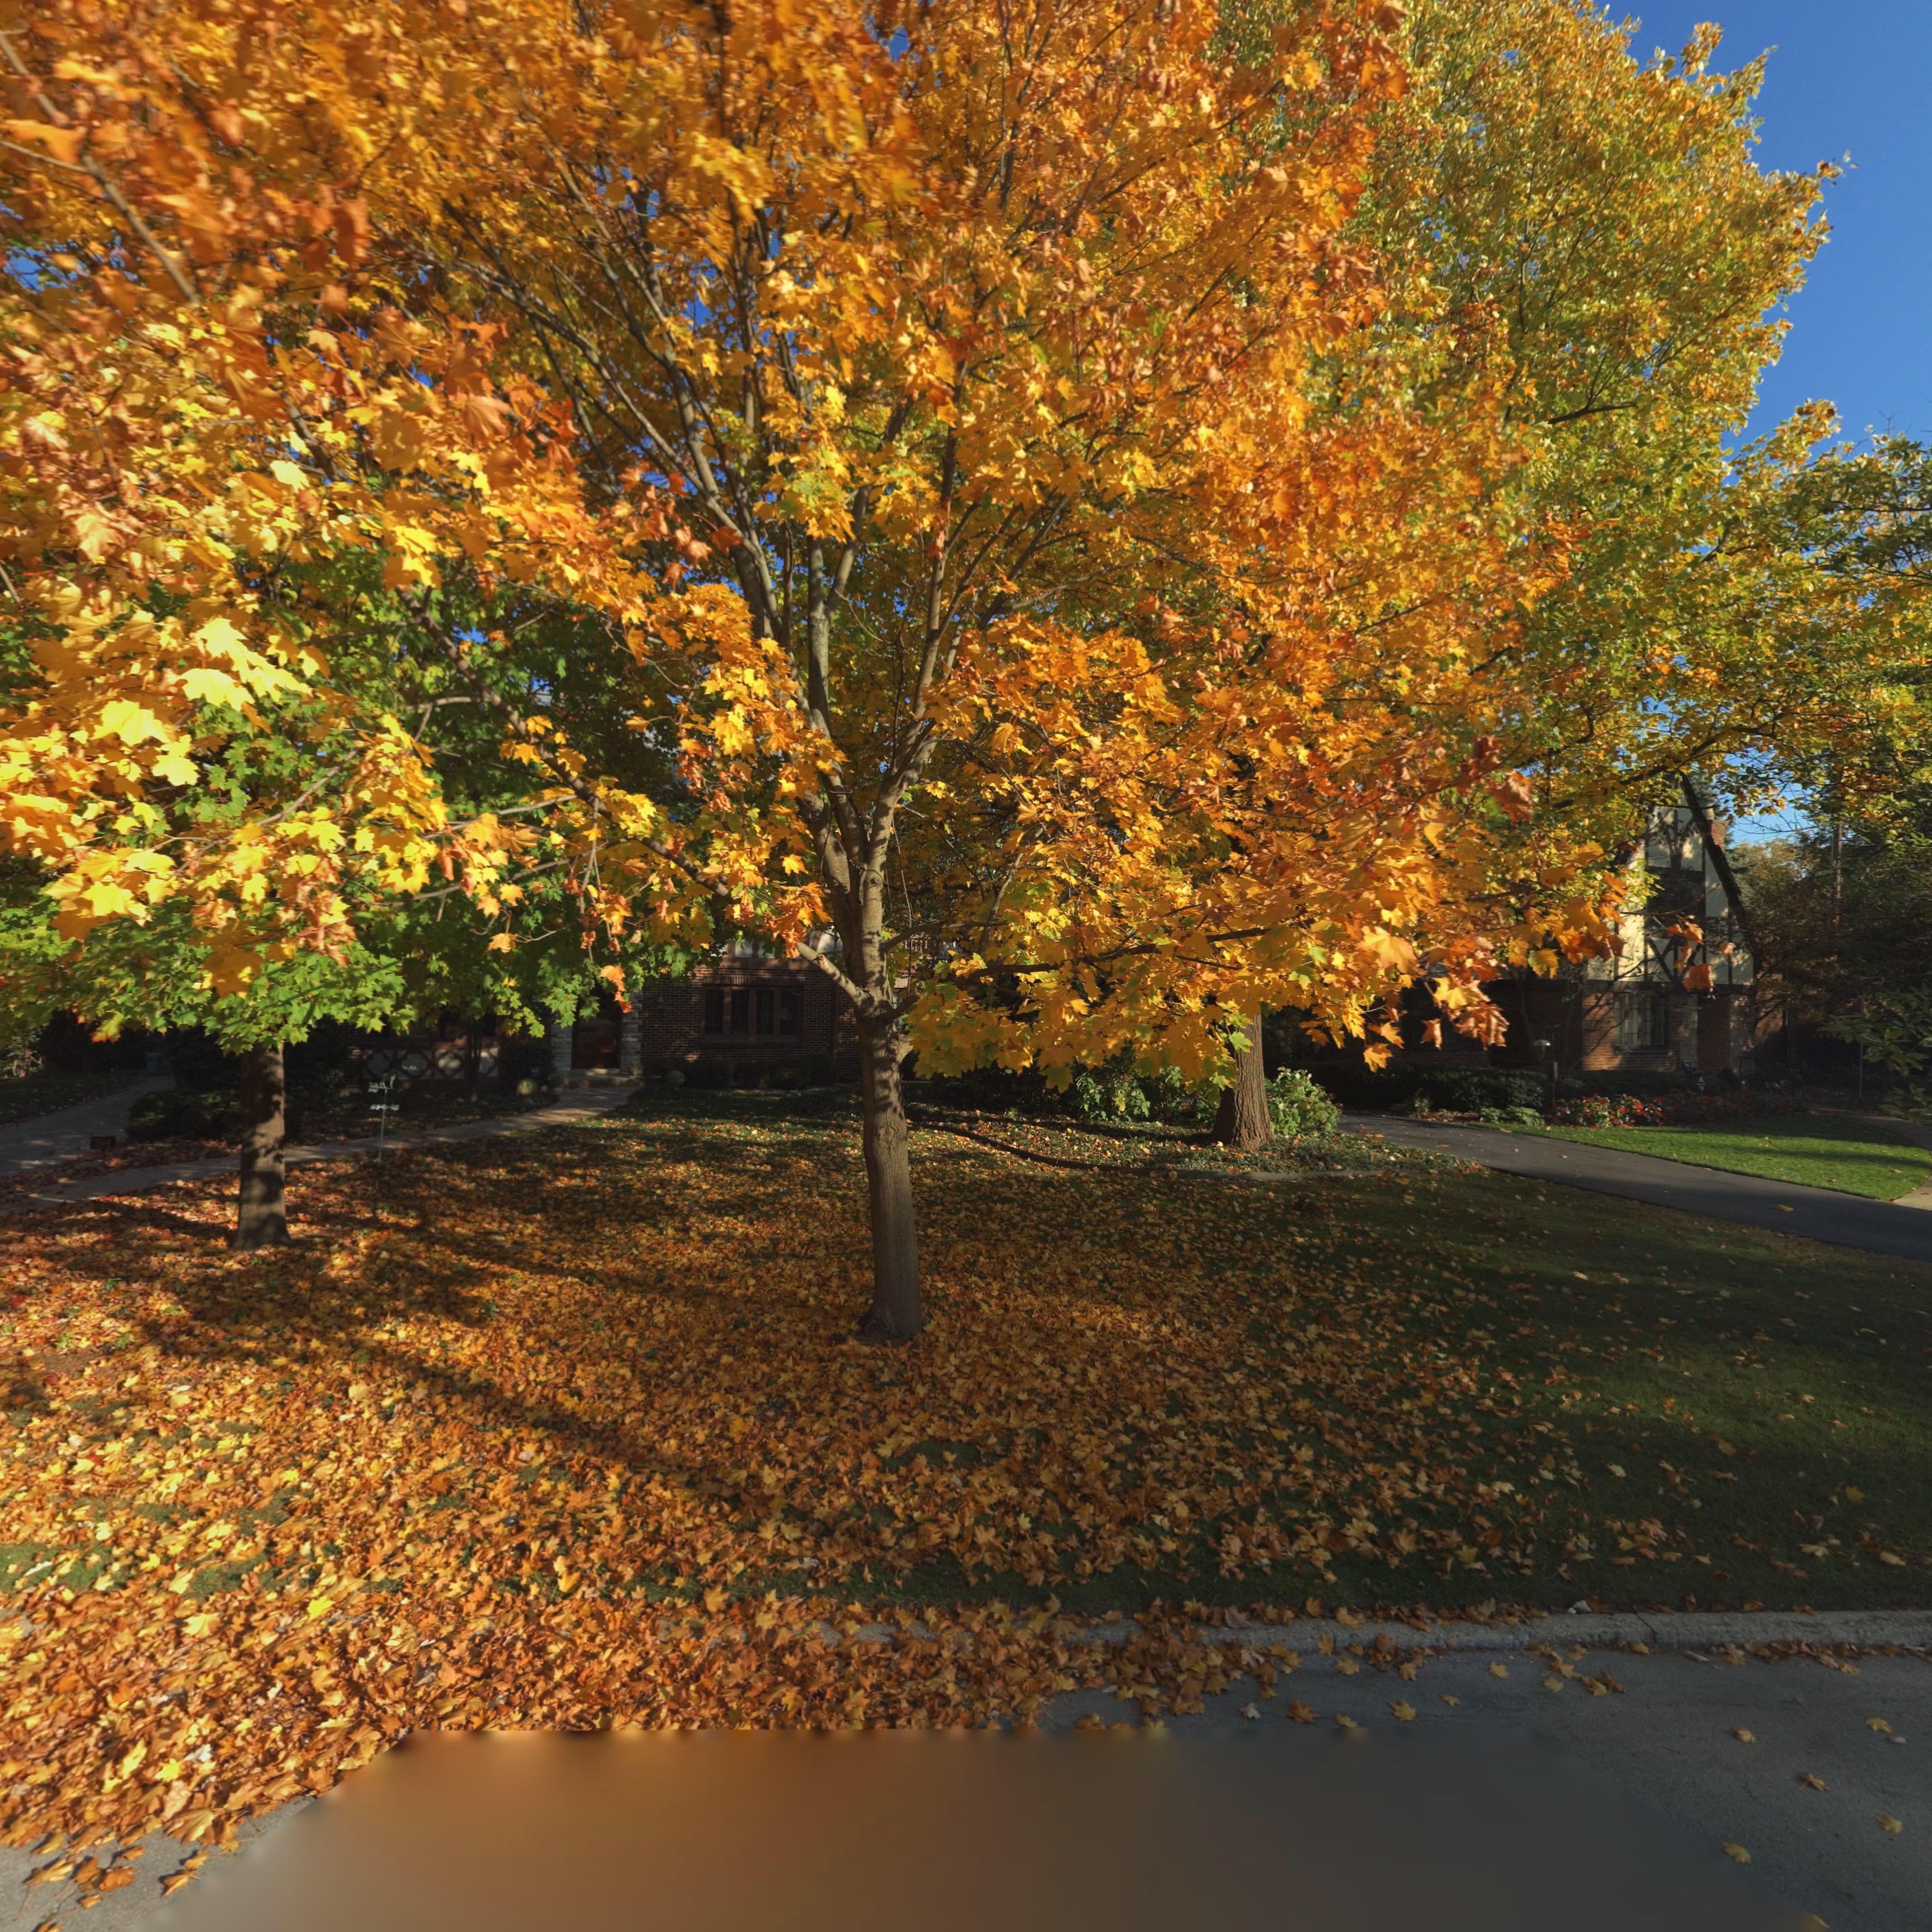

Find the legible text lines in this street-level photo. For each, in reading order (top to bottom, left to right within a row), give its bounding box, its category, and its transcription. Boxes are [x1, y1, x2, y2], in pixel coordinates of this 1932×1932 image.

[92, 1136, 112, 1149] StreetNumber: 294